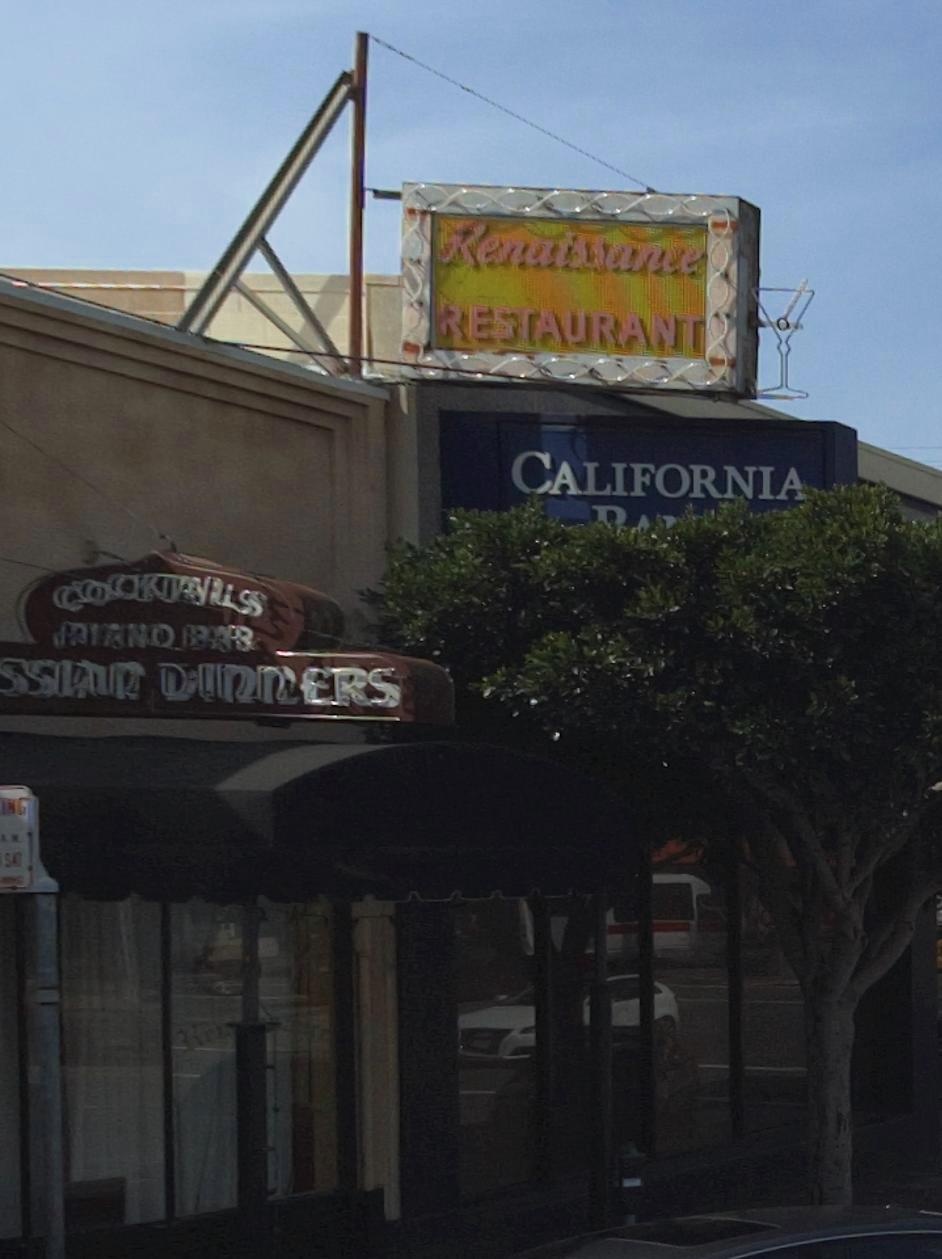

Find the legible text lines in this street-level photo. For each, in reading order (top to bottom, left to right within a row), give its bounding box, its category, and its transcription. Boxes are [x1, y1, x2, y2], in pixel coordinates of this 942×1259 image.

[431, 212, 708, 281] BusinessName: Renaissance
[432, 295, 707, 360] BusinessName: RESTAURANT
[507, 445, 810, 503] BusinessName: CALIFORNIA
[50, 565, 271, 620] None: COCKTAILS
[46, 619, 258, 655] None: PIANO BAR
[0, 653, 406, 710] BusinessName: SSIAN DINNERS
[4, 792, 32, 819] None: NG
[0, 850, 26, 870] None: SAT